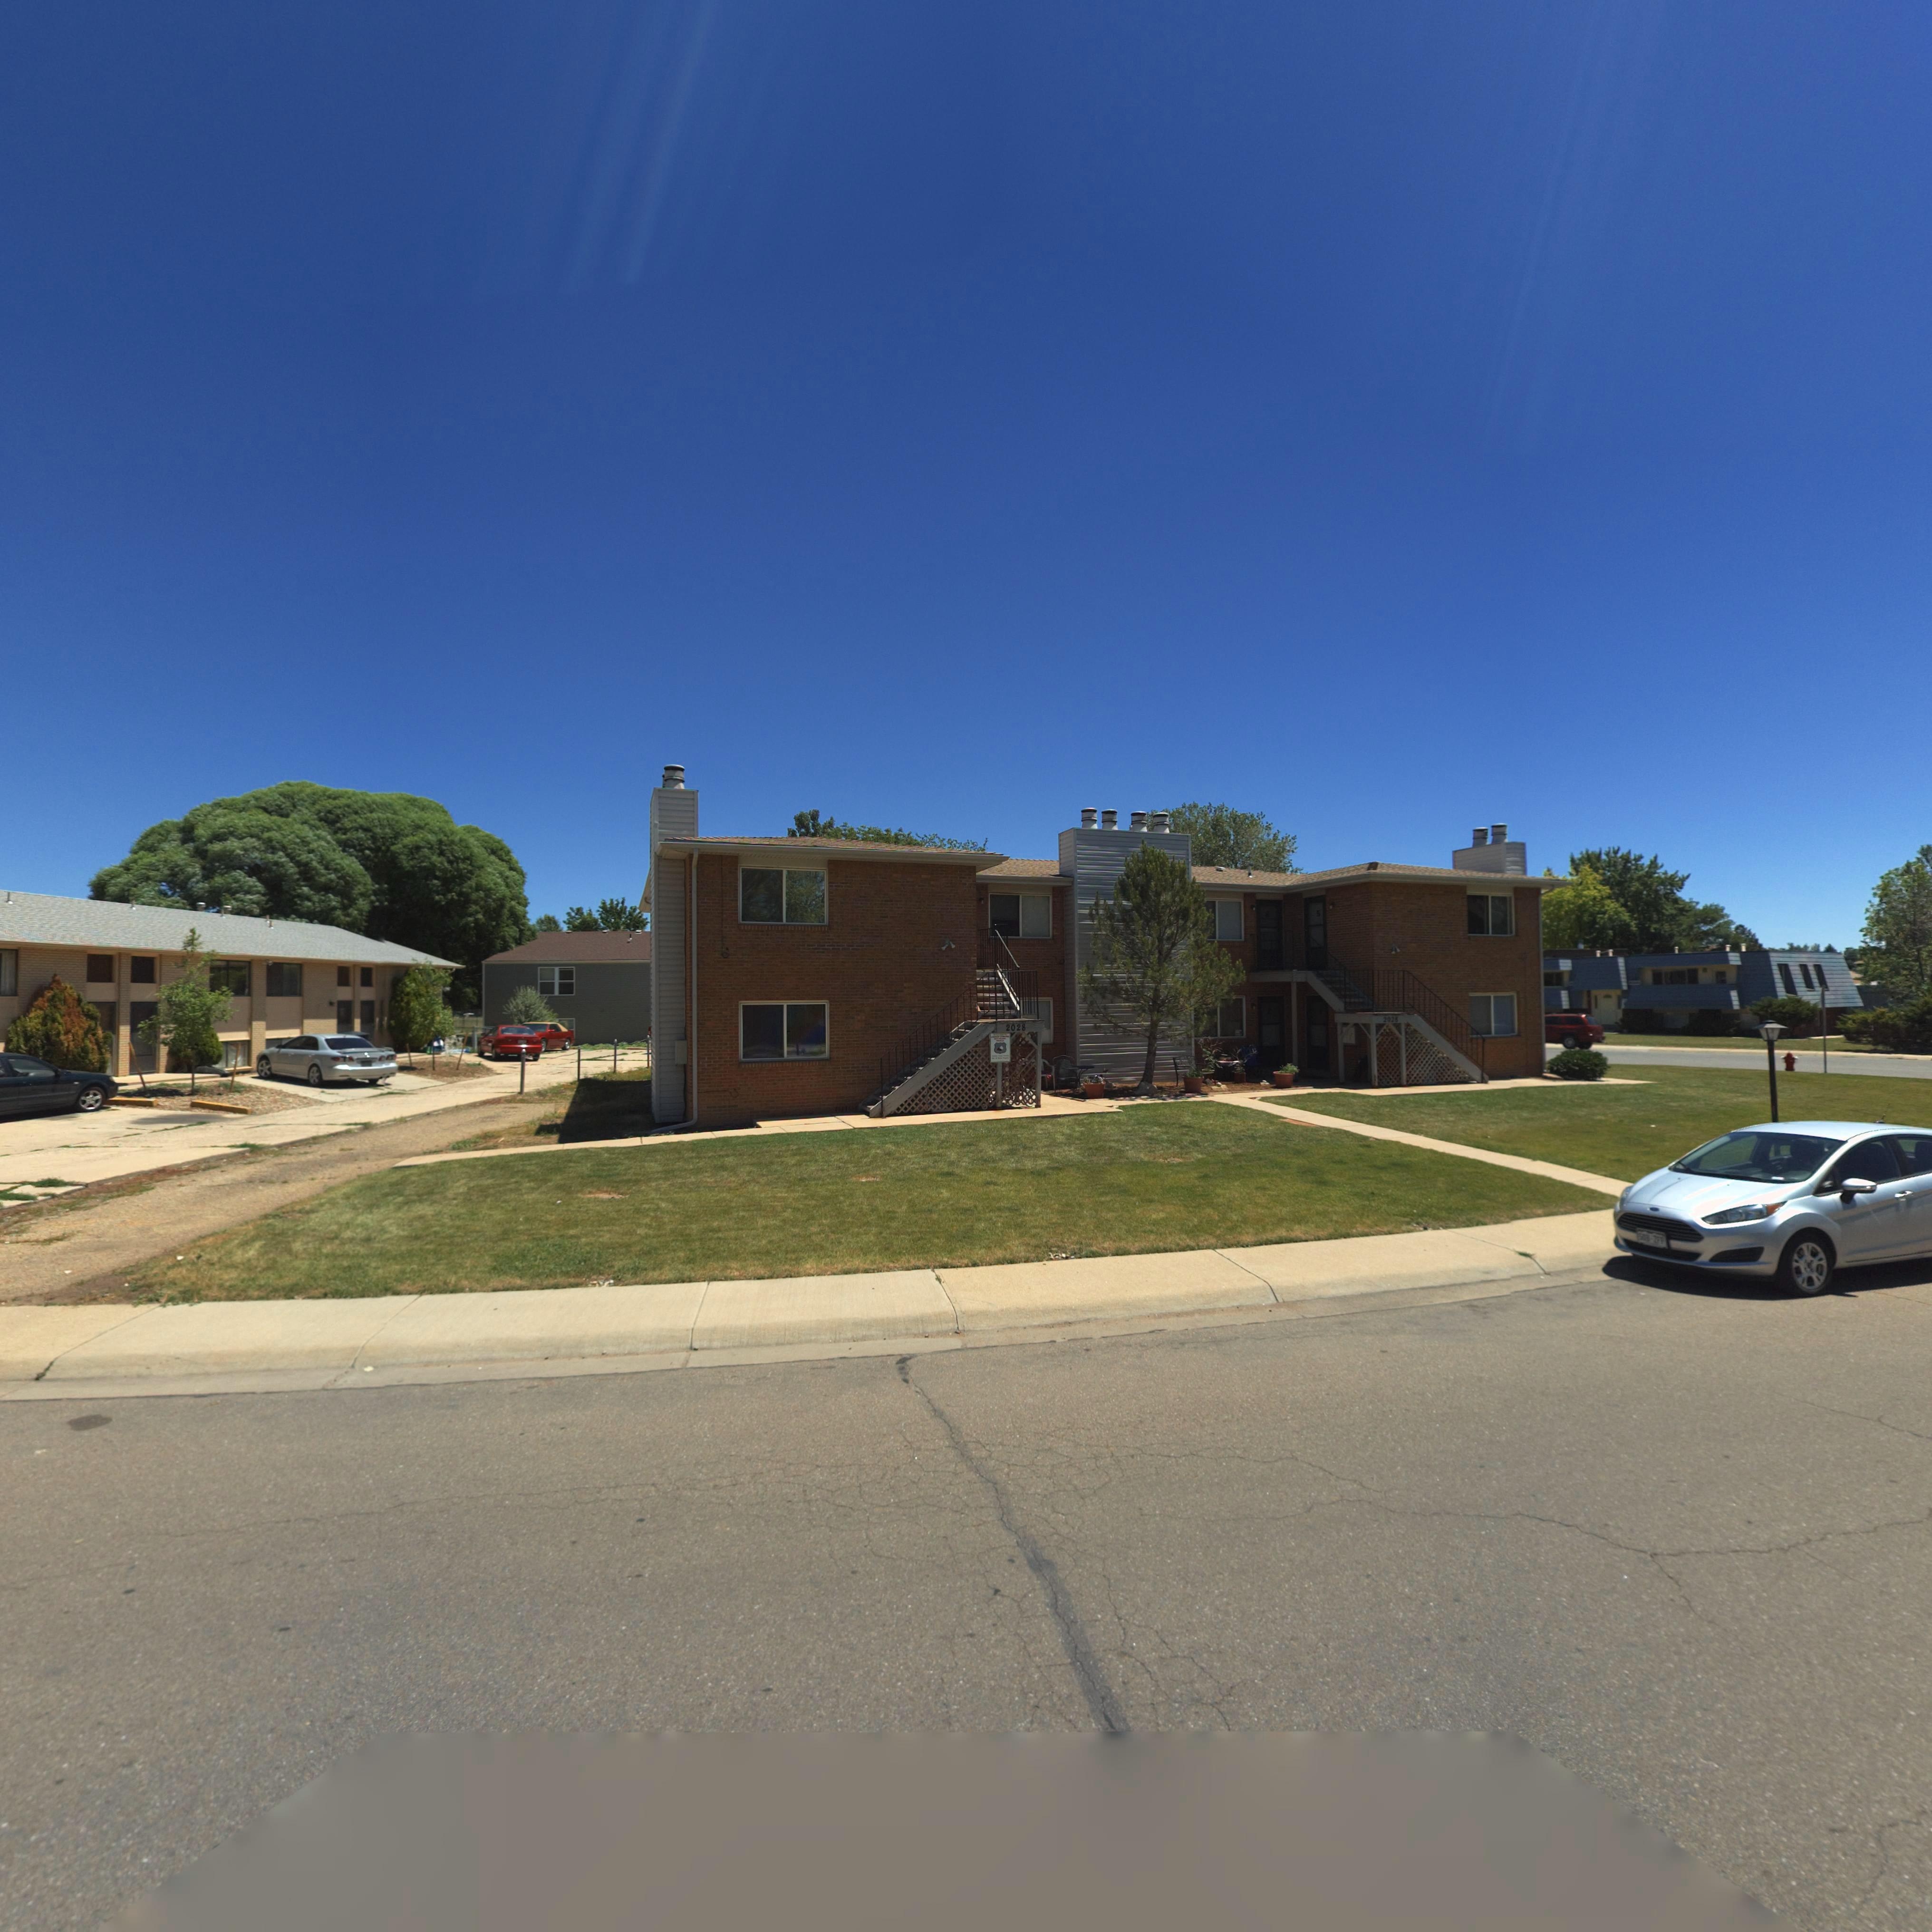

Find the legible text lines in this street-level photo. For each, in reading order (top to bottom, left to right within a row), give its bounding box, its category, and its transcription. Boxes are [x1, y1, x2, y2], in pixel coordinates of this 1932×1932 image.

[1382, 1015, 1398, 1023] StreetNumber: 2028
[1006, 1024, 1025, 1031] StreetNumber: 2028